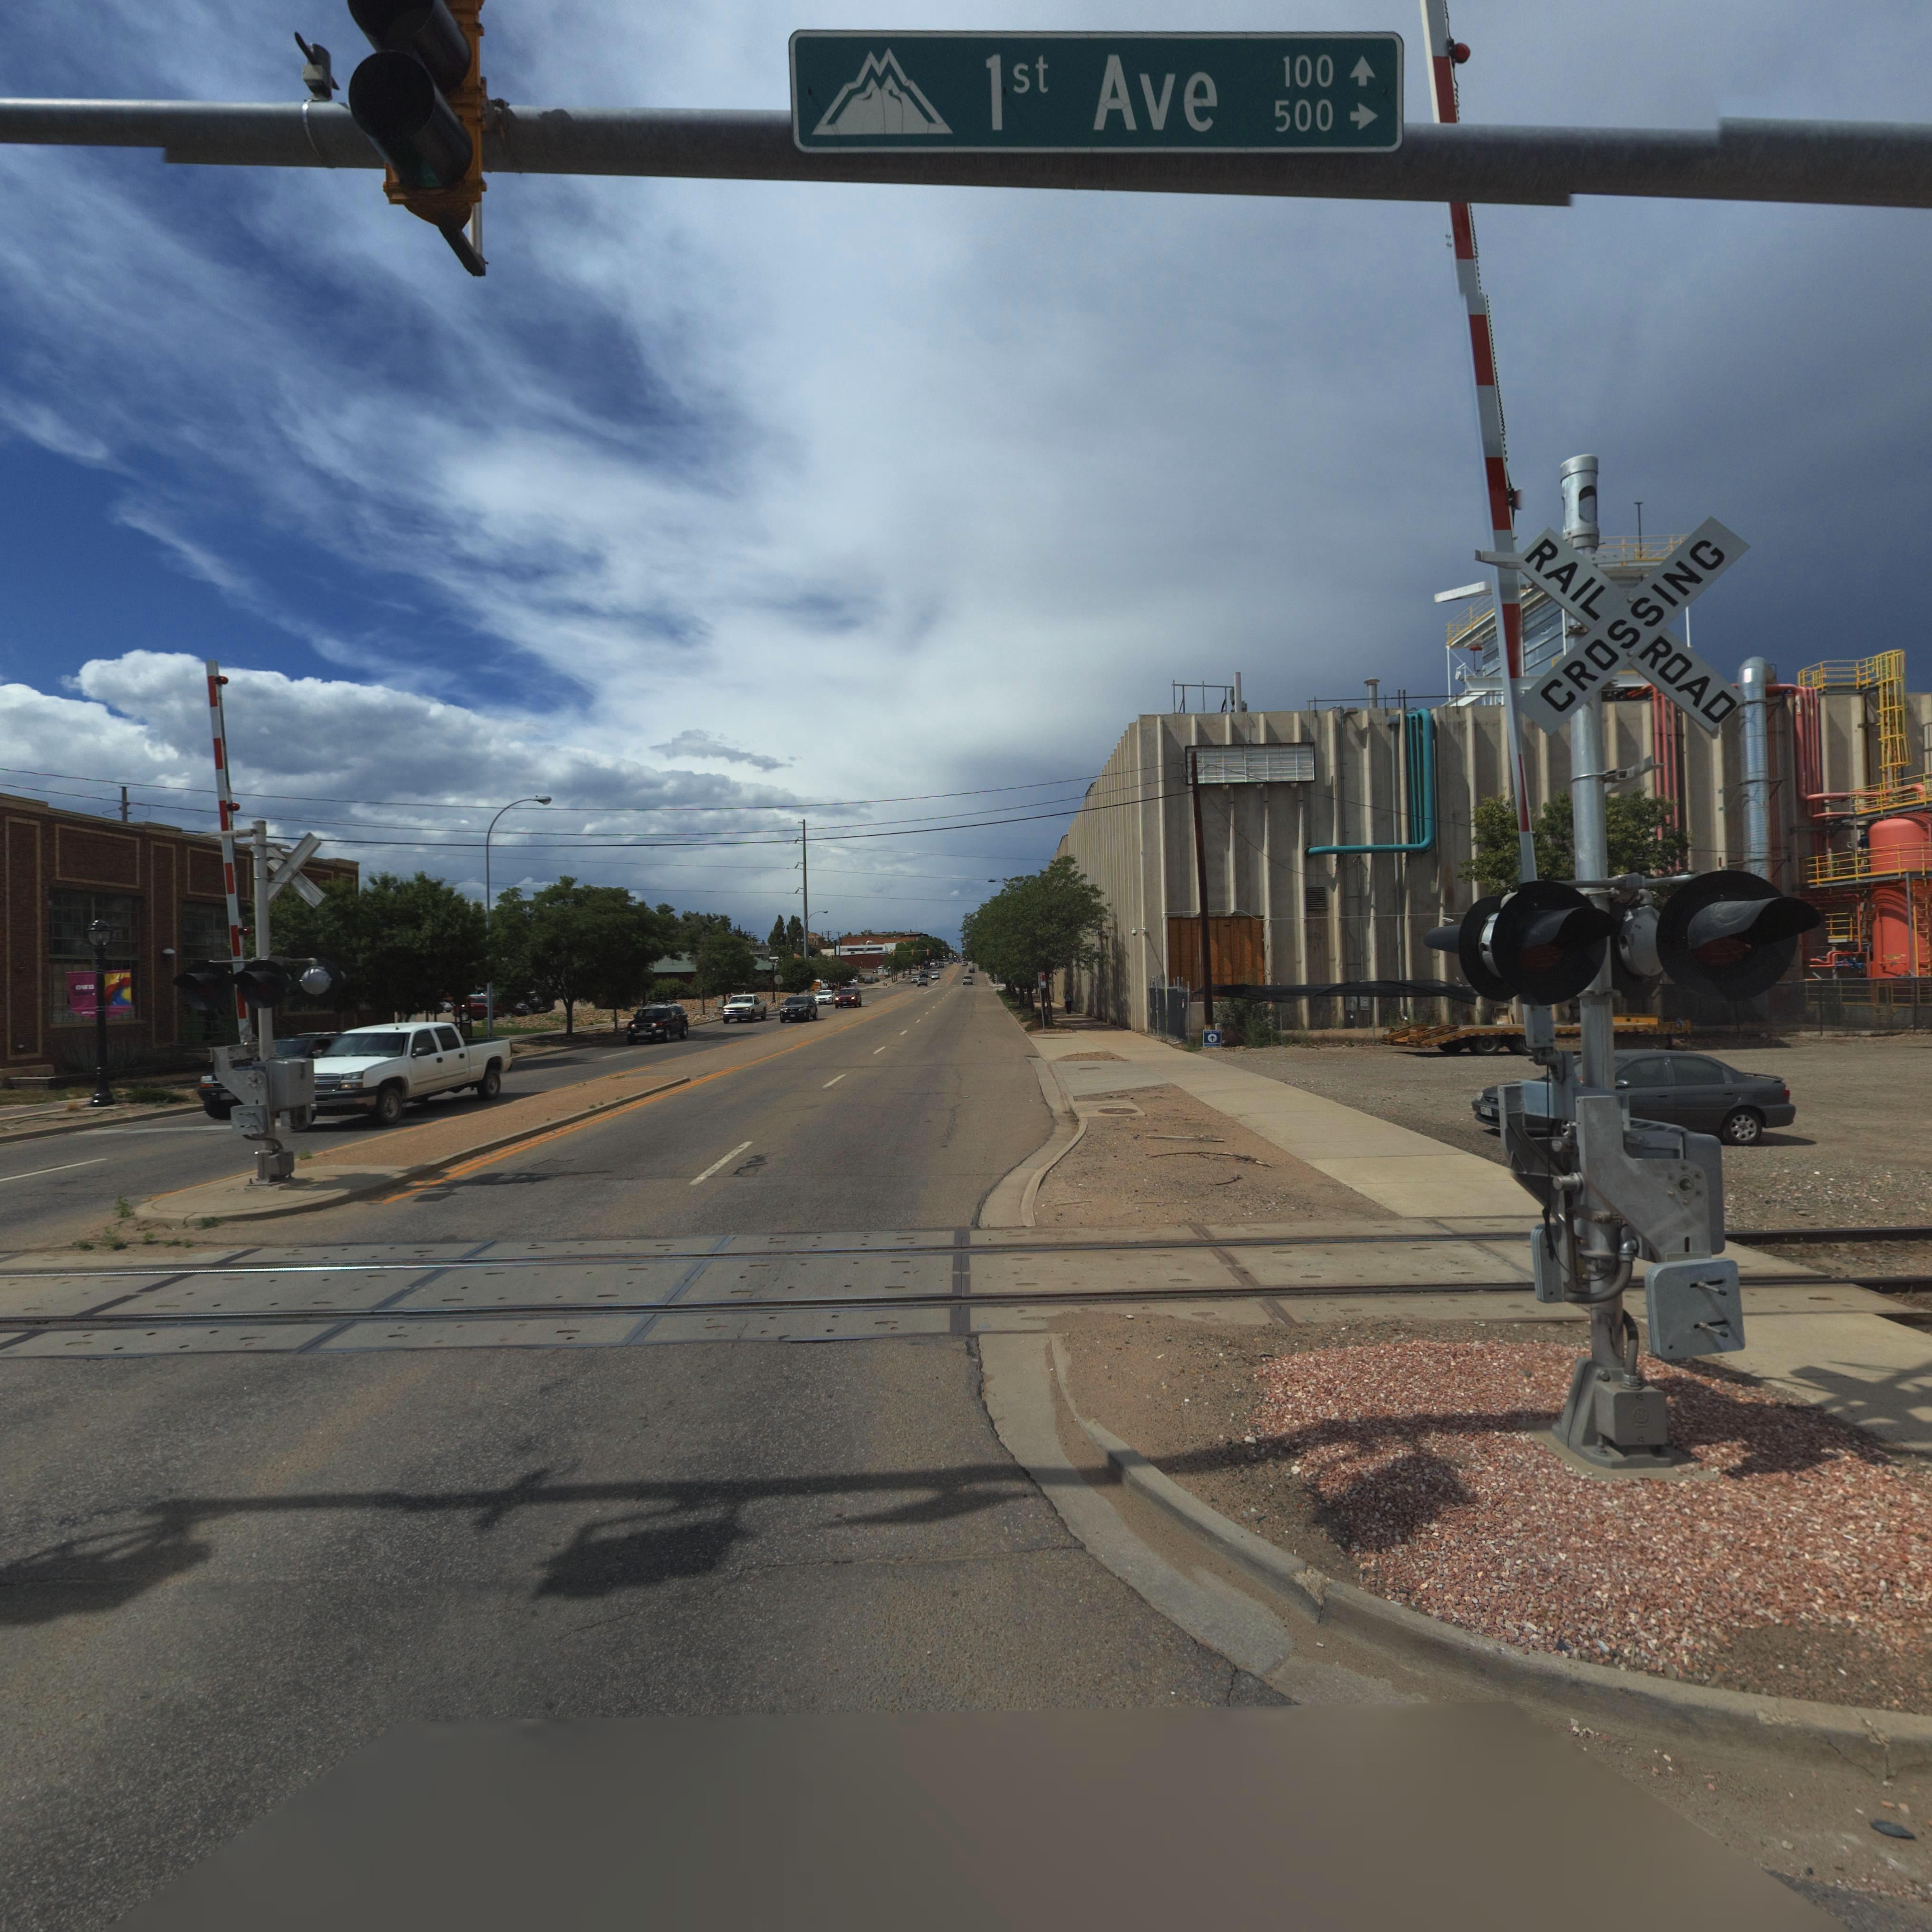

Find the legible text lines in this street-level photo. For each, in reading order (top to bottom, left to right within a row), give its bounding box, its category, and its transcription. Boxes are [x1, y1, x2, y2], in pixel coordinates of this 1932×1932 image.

[1282, 53, 1334, 88] StreetNumberRange: 100
[984, 52, 1219, 133] StreetName: 1st Ave
[1274, 97, 1381, 133] StreetNumberRange: 500->